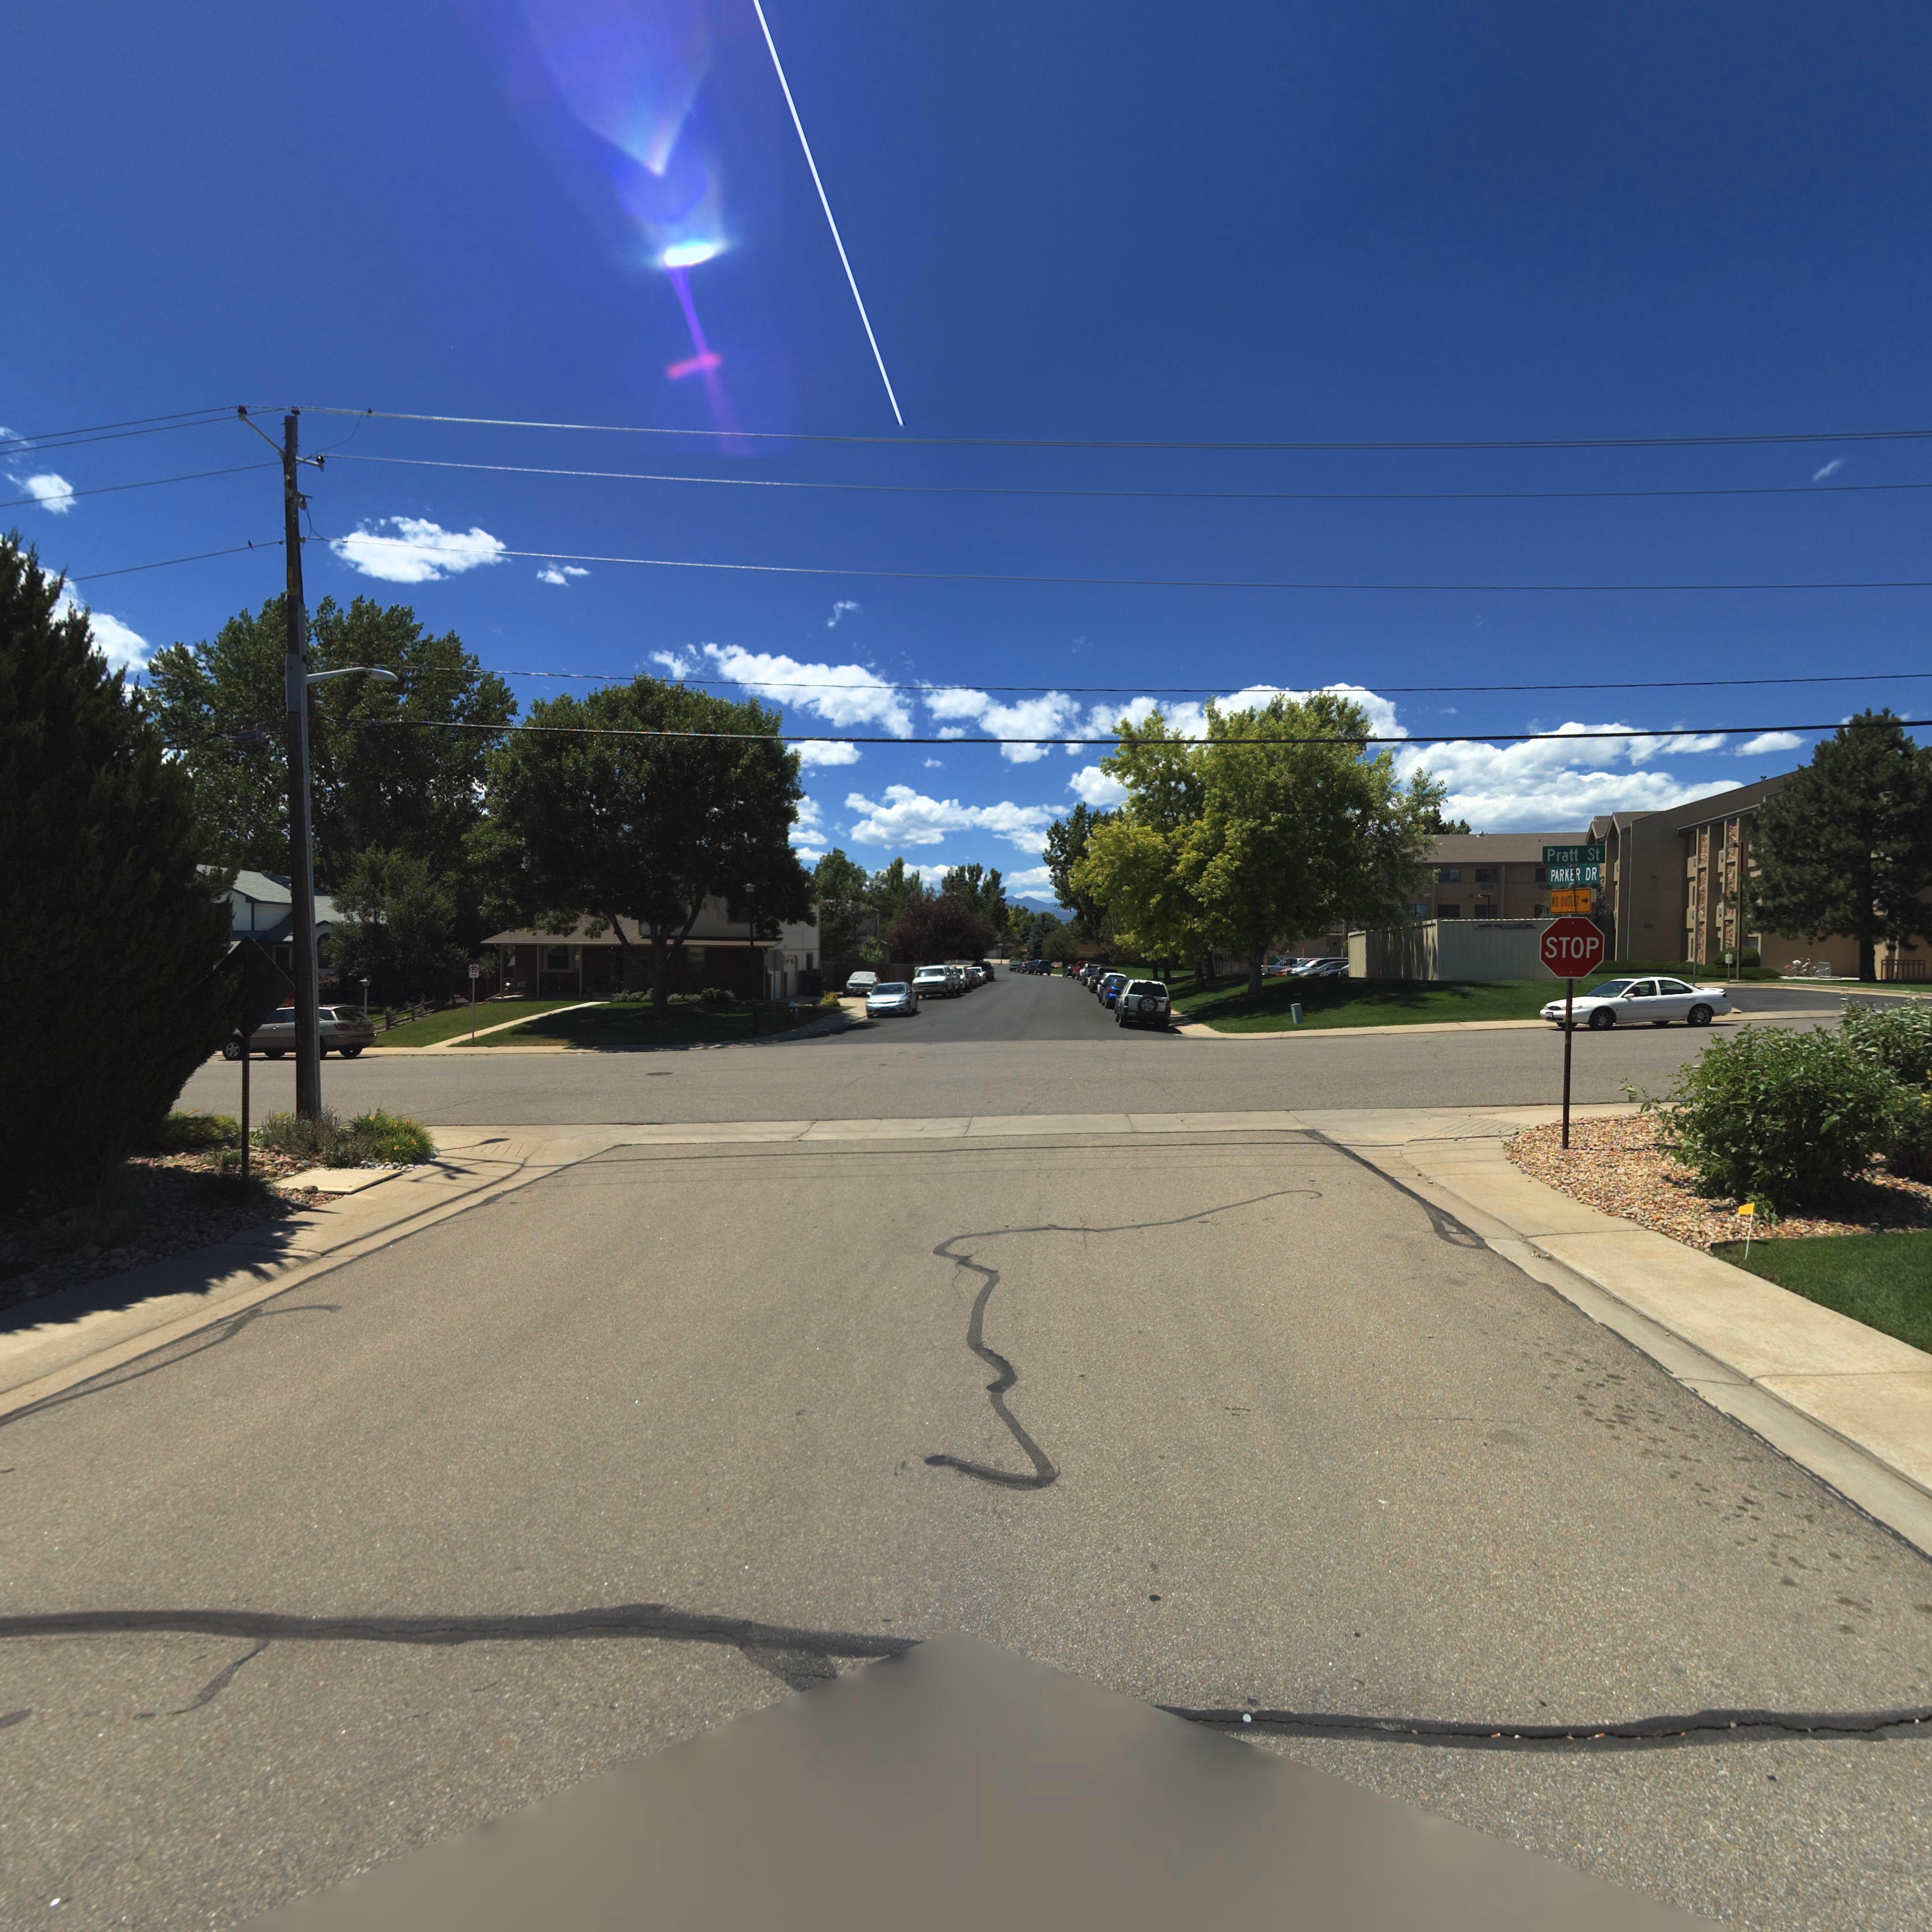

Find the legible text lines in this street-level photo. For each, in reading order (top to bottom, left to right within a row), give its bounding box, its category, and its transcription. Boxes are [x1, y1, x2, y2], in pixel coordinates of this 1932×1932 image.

[1547, 847, 1600, 862] StreetNumber: Pratt St
[1550, 866, 1597, 882] StreetNumber: PARKER DR